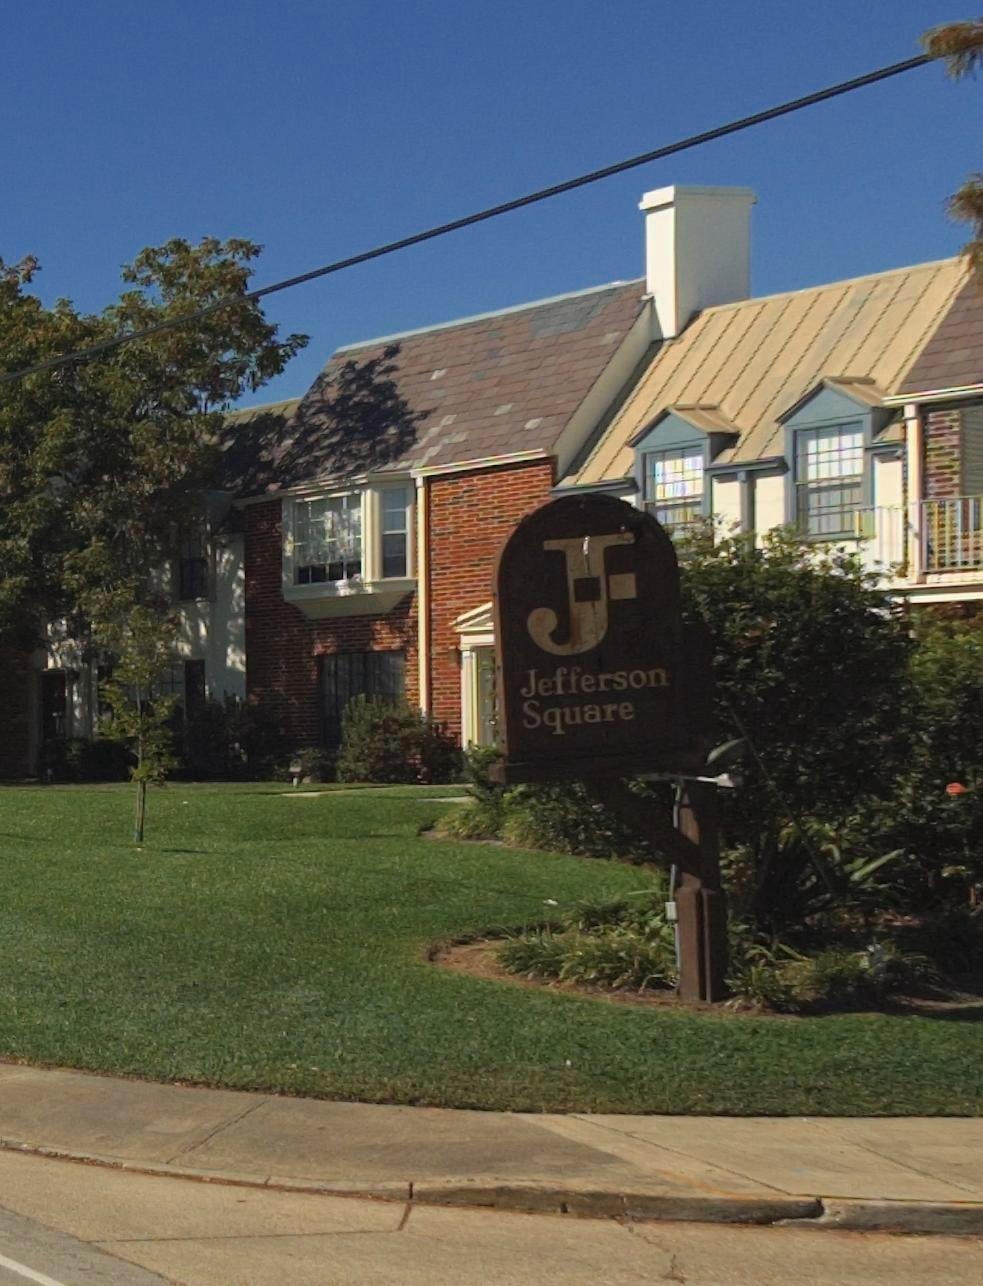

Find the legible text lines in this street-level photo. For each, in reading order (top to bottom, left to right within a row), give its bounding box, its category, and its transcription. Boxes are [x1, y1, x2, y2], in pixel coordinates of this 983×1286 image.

[521, 527, 640, 661] None: J
[513, 662, 674, 702] None: Jefferson
[520, 697, 639, 739] None: Square